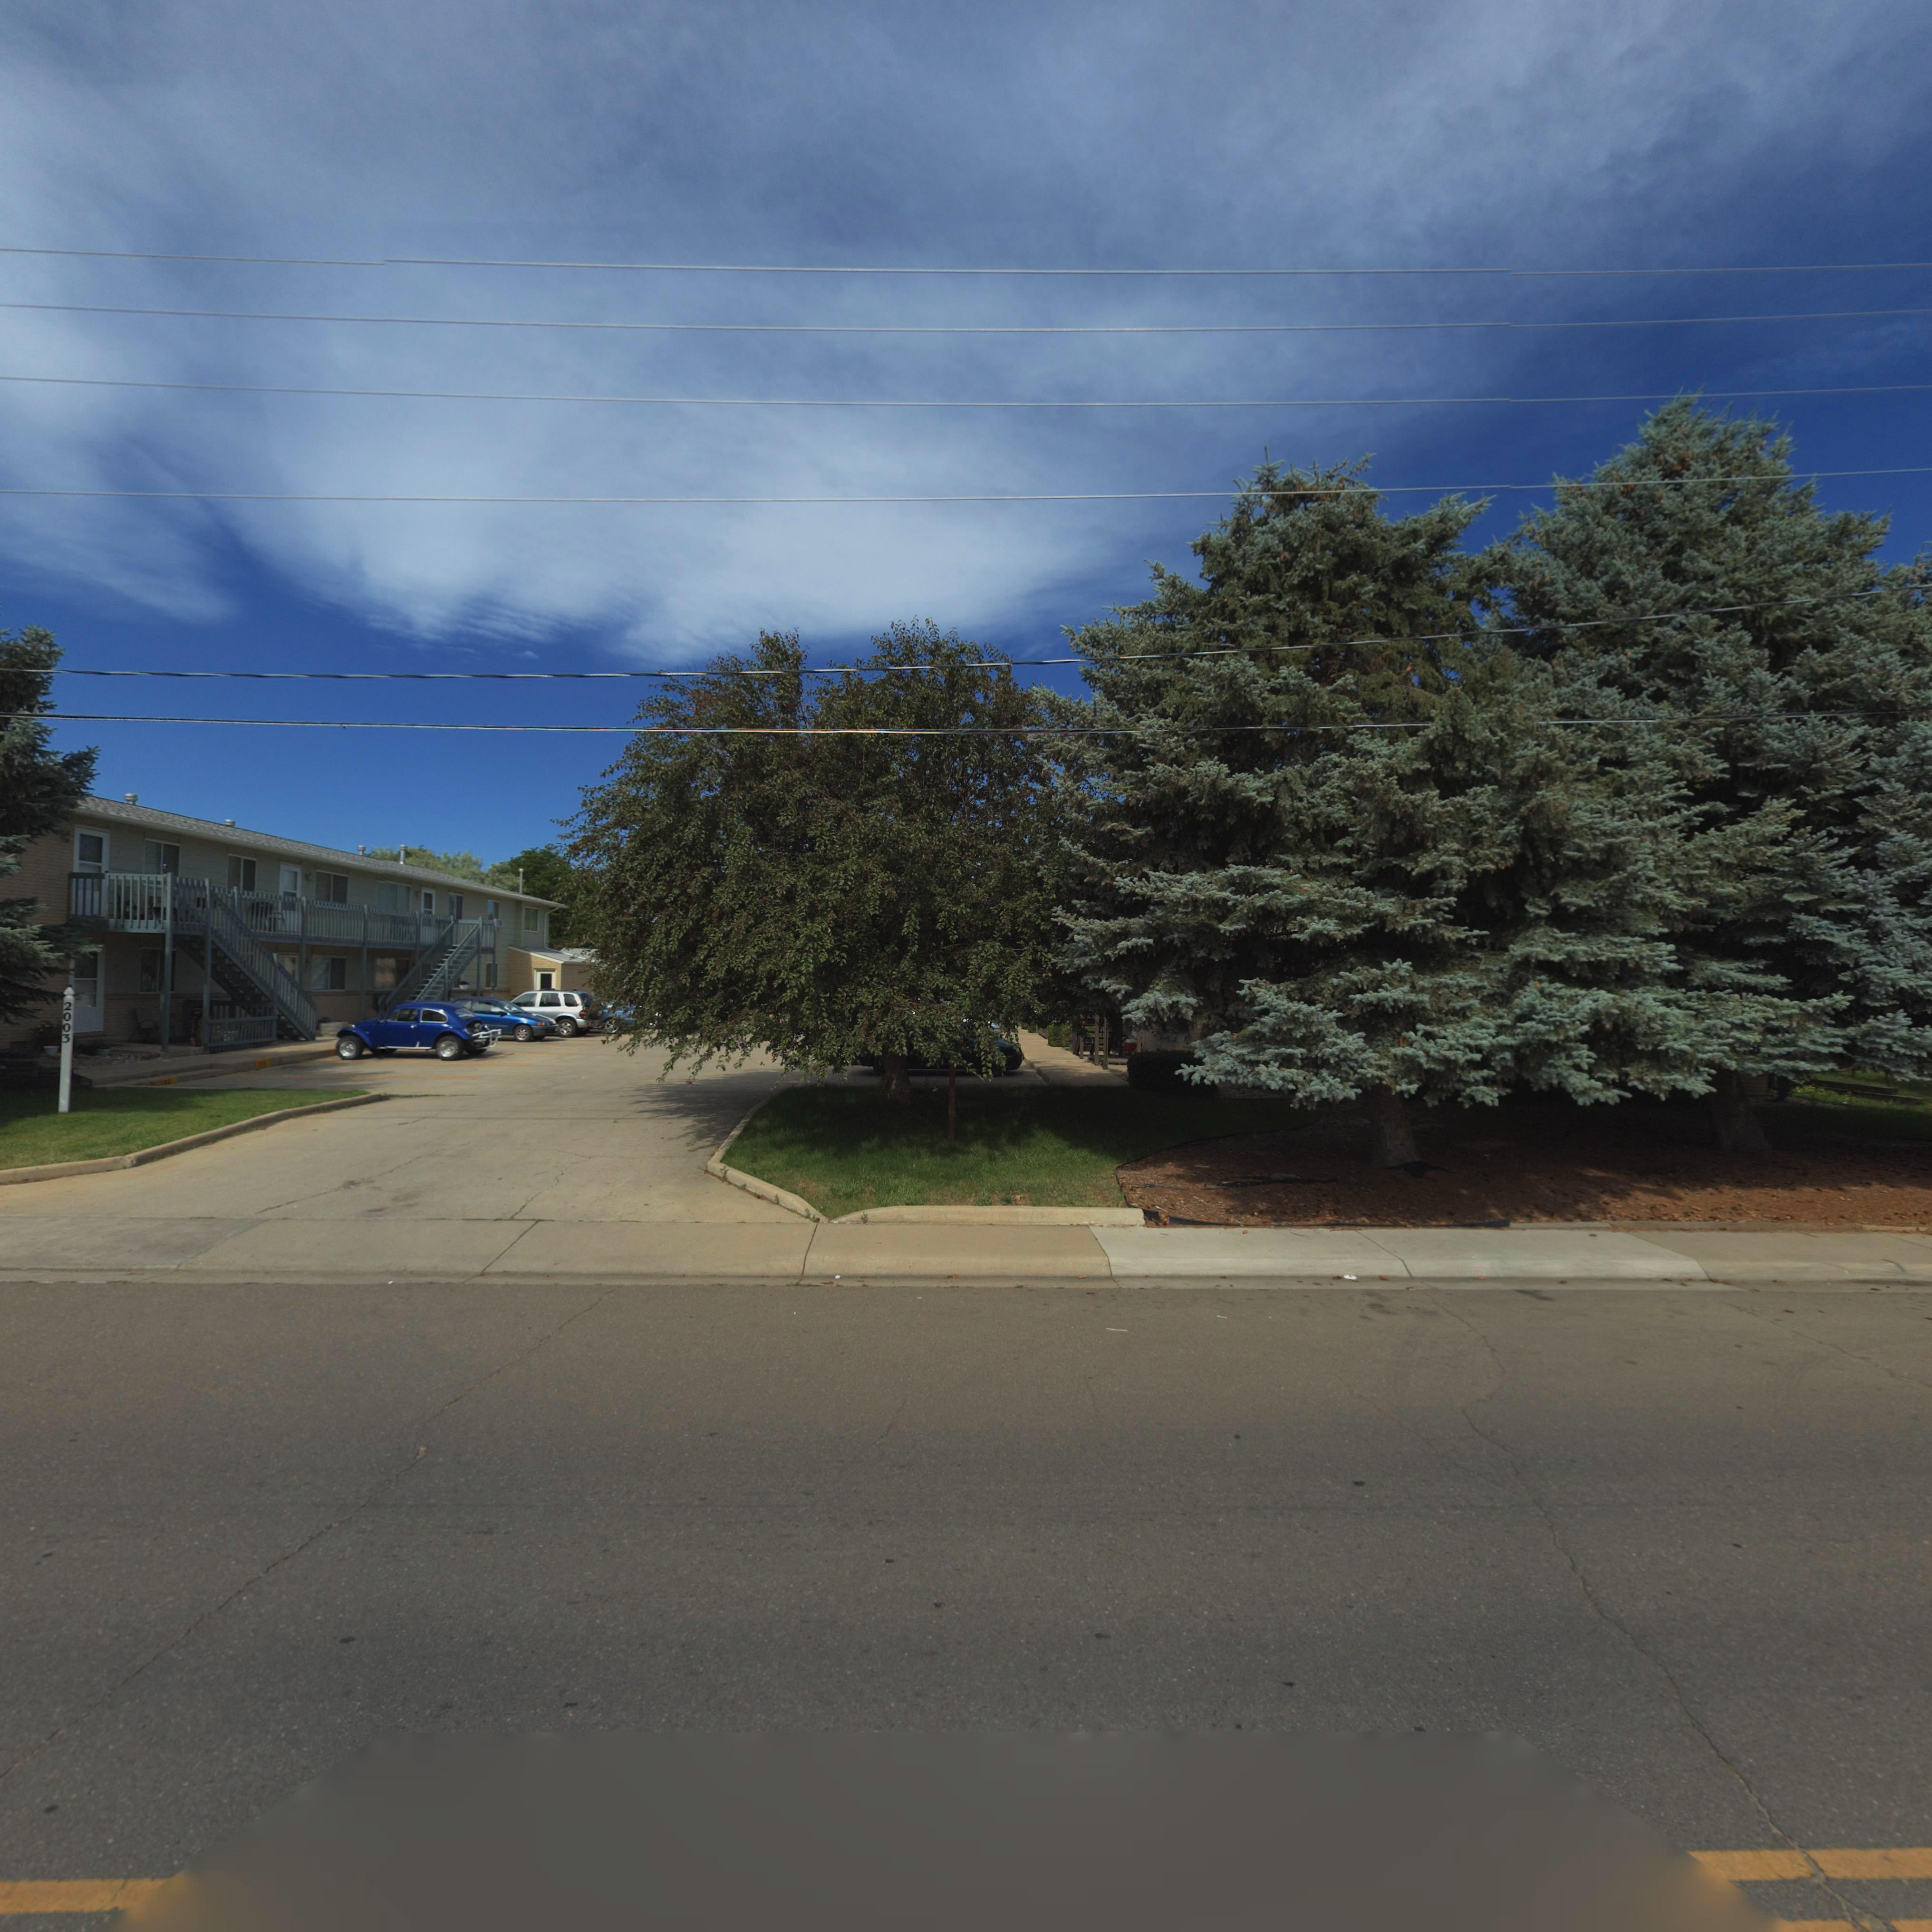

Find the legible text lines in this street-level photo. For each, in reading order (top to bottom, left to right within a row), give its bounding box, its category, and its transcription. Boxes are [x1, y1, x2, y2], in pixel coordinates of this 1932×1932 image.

[61, 1000, 72, 1043] StreetNumber: 2003